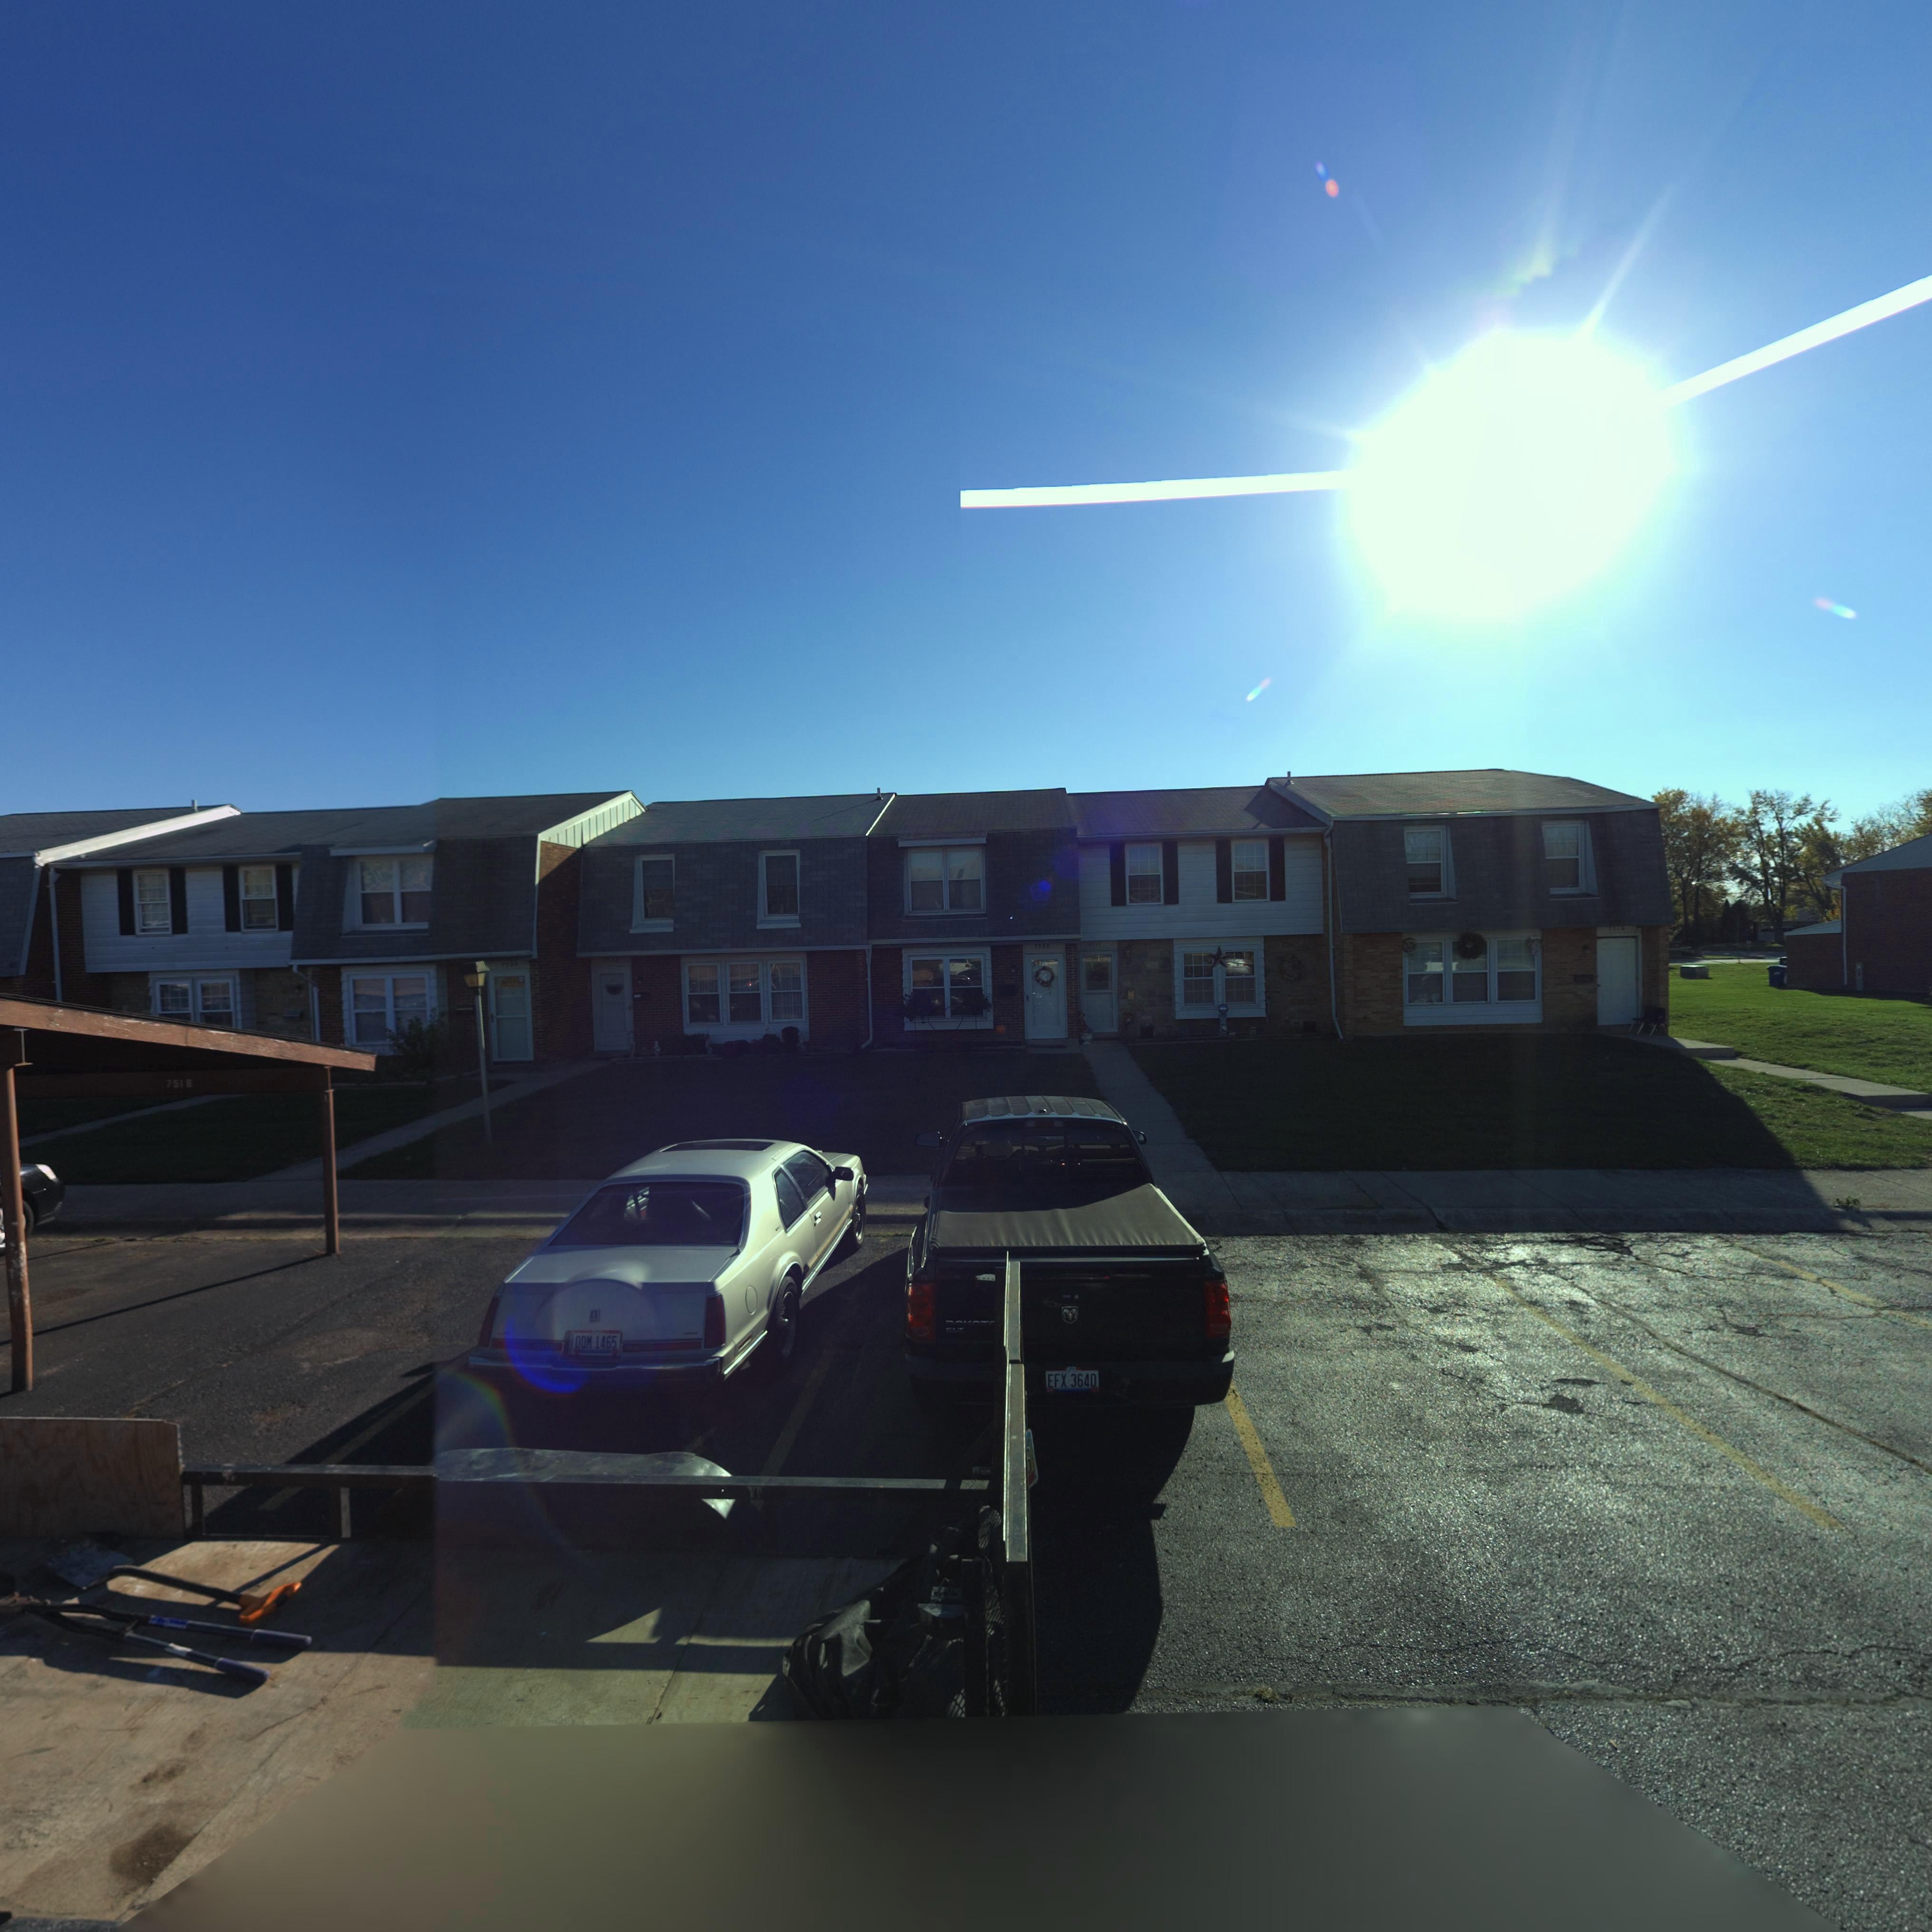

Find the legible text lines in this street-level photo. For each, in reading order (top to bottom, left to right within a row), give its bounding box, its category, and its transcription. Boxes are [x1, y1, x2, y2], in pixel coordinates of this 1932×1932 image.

[1607, 925, 1625, 931] StreetNumber: 7516
[1034, 943, 1050, 949] StreetNumber: 7520
[1088, 941, 1101, 947] StreetNumber: 7518
[602, 956, 619, 964] StreetNumber: 7522
[500, 960, 518, 968] StreetNumber: 752*
[165, 1078, 193, 1088] StreetNumber: 7516